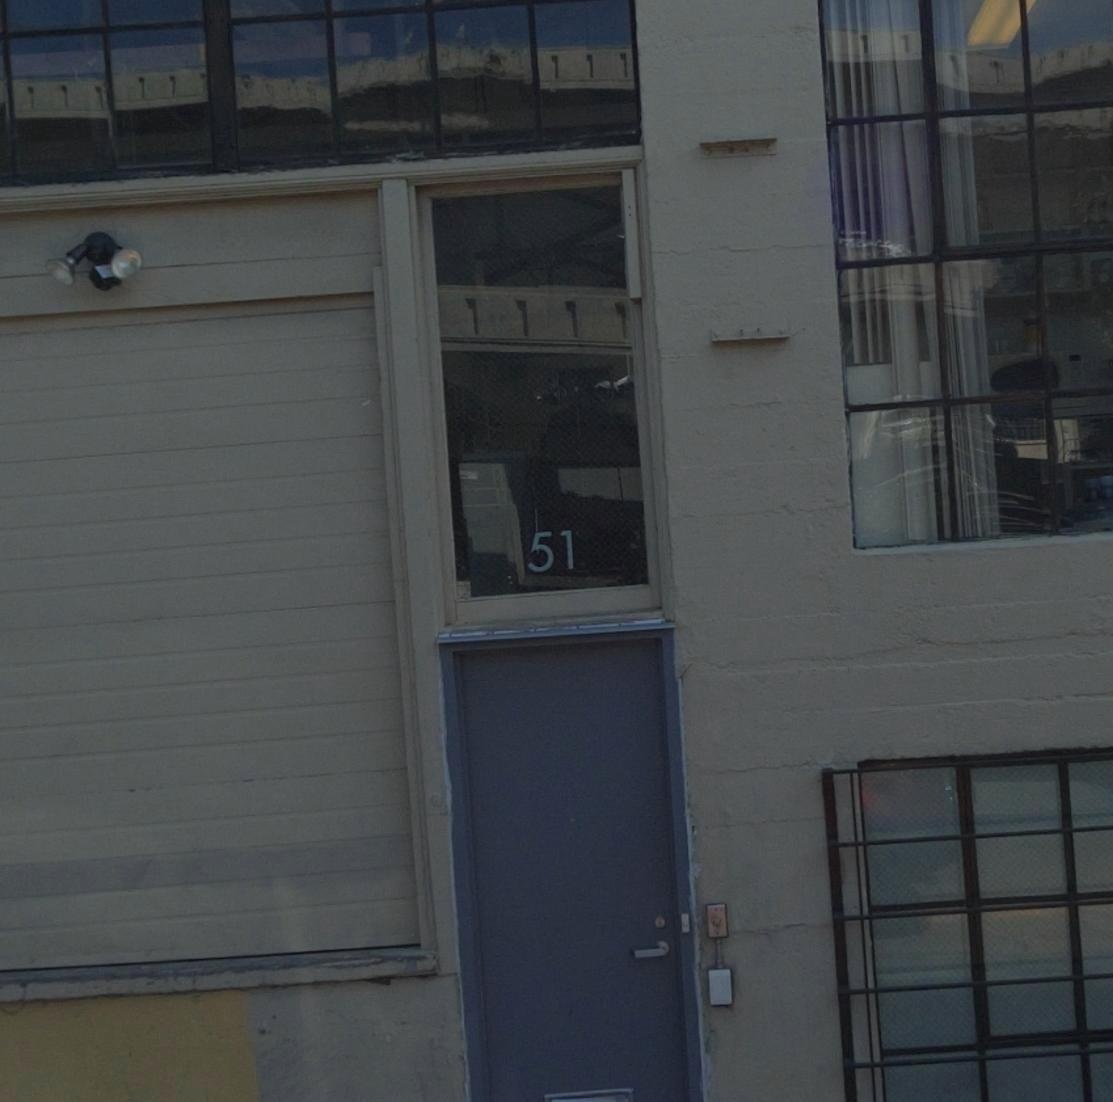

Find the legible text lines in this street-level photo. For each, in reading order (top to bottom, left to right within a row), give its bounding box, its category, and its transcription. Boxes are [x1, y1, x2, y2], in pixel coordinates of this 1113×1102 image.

[521, 525, 579, 578] StreetNumber: 51